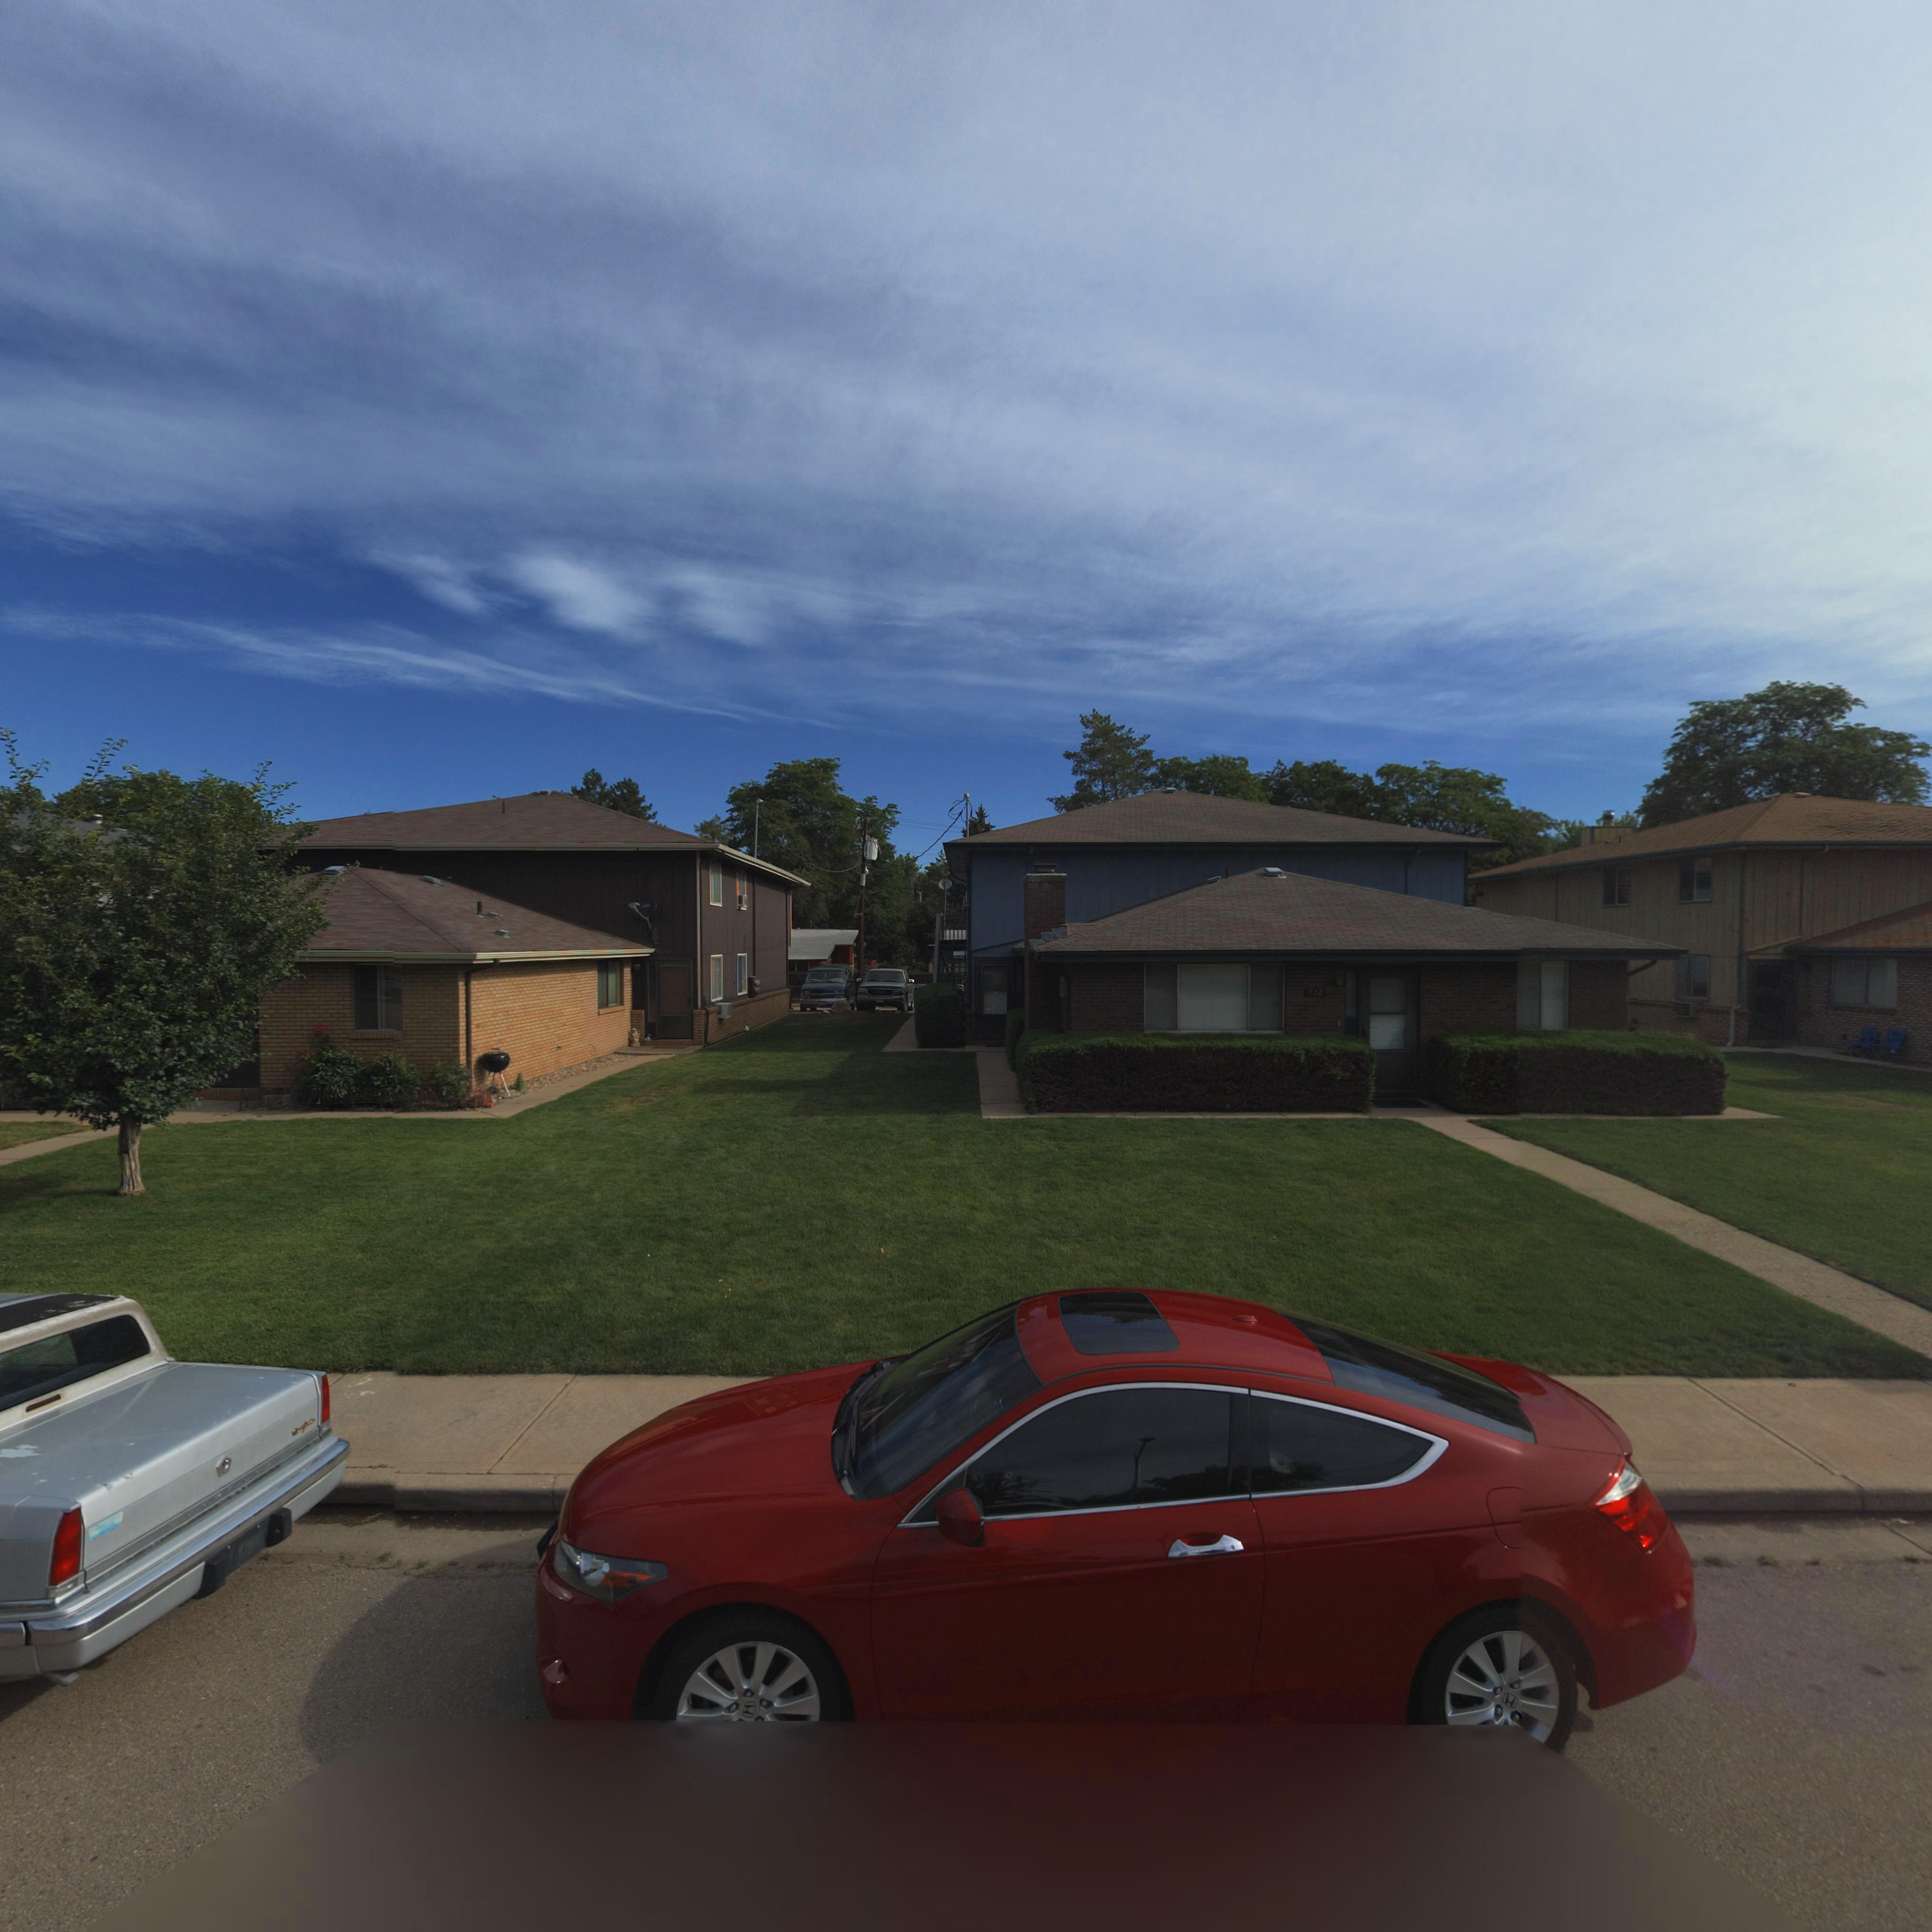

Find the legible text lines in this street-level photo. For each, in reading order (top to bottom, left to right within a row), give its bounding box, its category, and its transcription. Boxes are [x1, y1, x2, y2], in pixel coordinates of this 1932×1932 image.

[1308, 986, 1323, 996] StreetNumber: 732